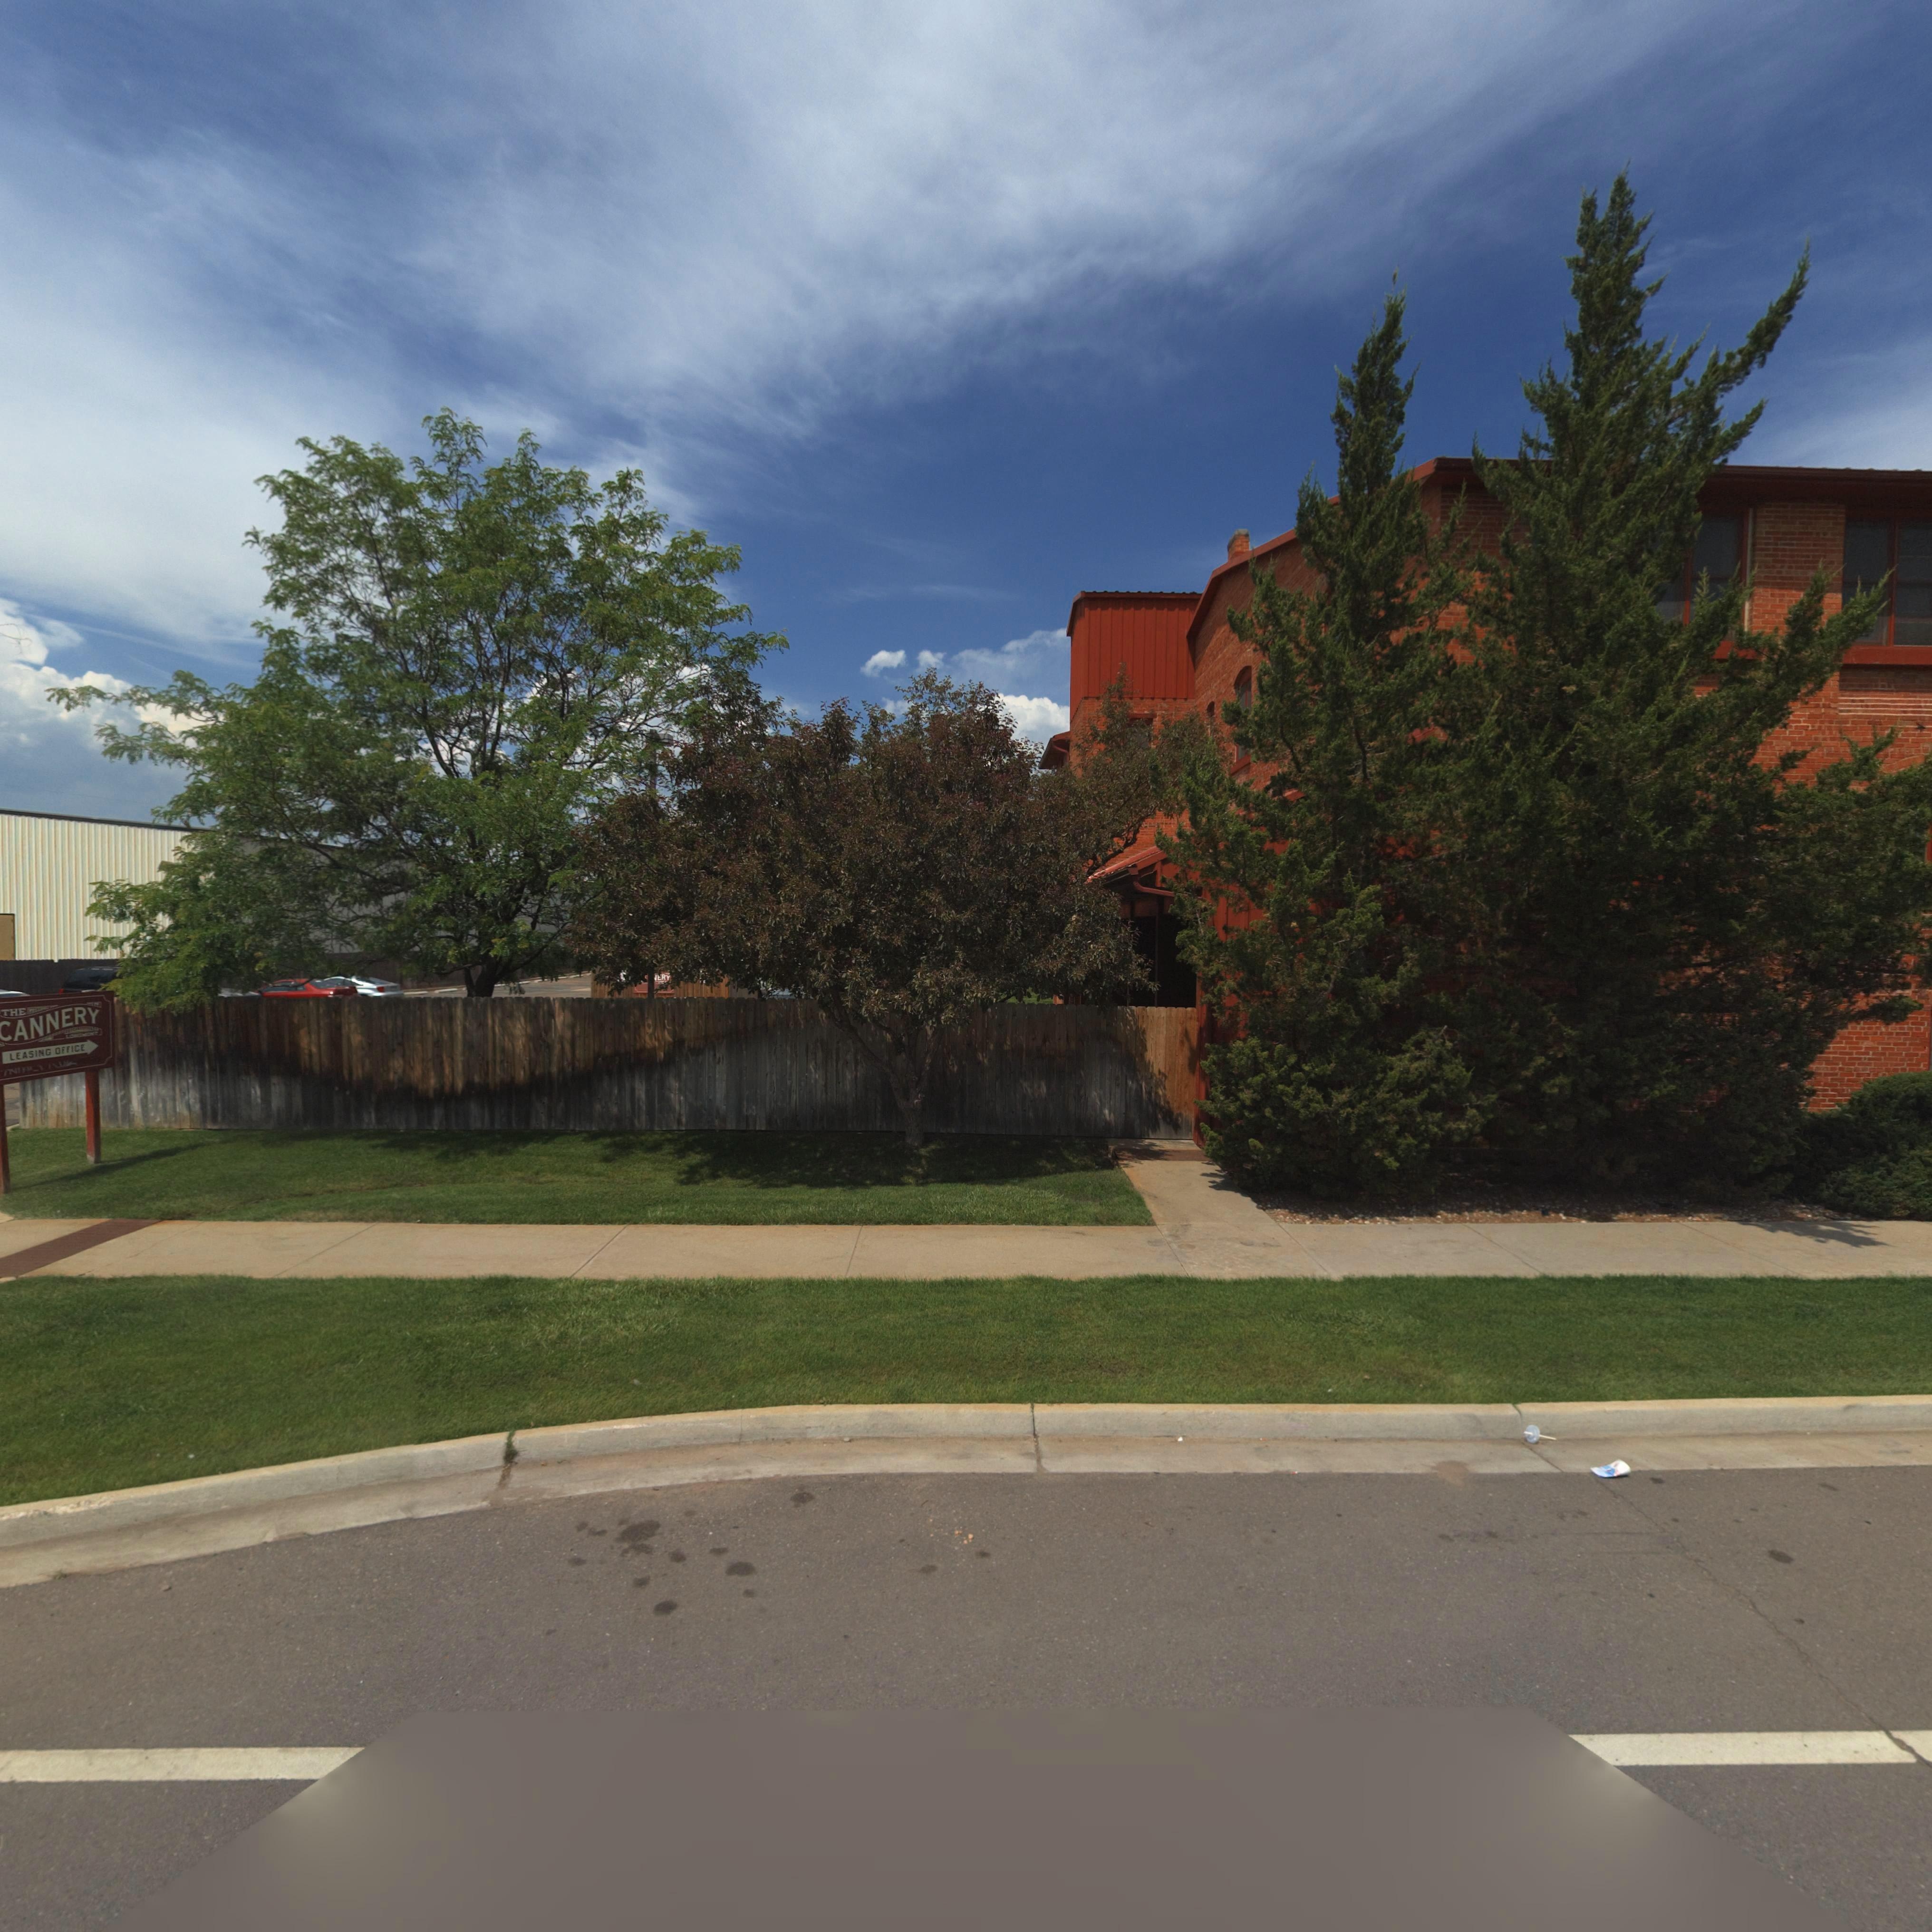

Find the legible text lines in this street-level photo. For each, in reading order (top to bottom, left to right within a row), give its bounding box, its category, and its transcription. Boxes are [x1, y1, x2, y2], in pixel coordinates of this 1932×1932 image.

[657, 974, 671, 981] BusinessName: ERY
[0, 1007, 26, 1016] BusinessName: THE
[12, 1006, 100, 1042] BusinessName: ANNERY